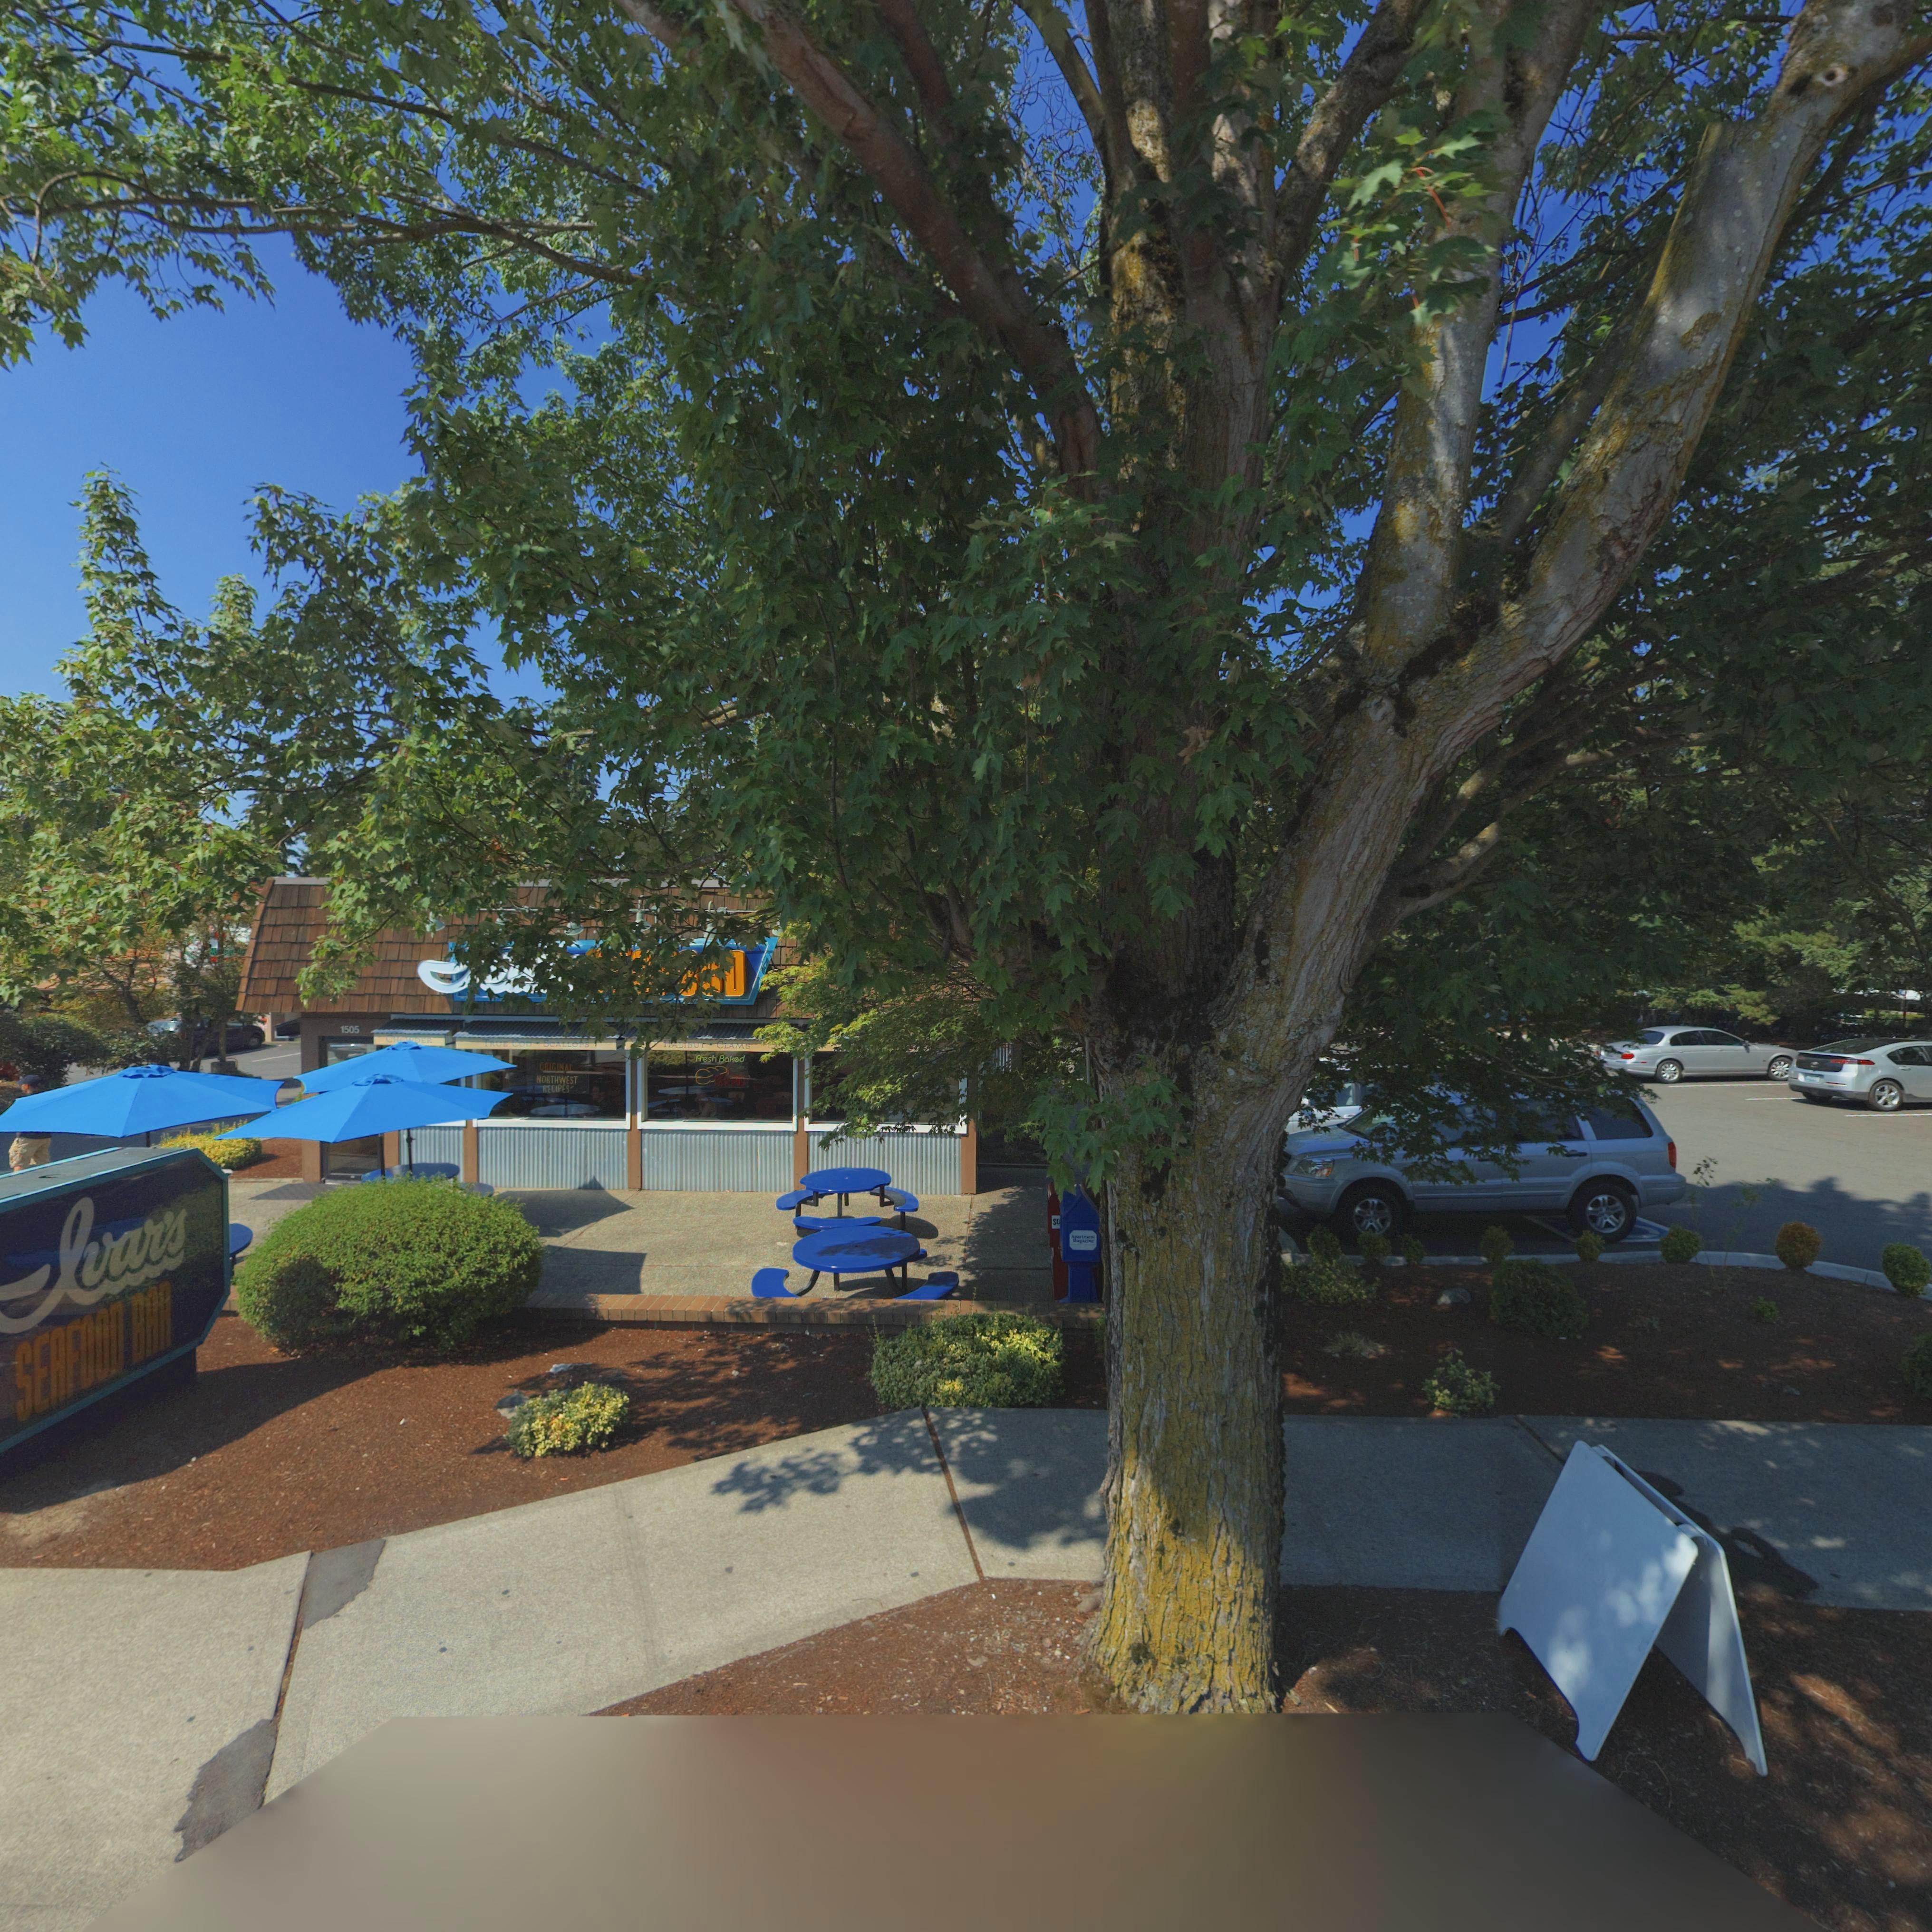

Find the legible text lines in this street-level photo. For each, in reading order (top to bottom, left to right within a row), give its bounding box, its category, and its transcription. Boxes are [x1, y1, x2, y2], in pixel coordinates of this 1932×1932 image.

[340, 1024, 359, 1035] StreetNumber: 1505
[482, 1038, 534, 1047] None: TRUE COD
[541, 1038, 592, 1050] None: SCALLOPS
[662, 1036, 706, 1050] None: HALIBUT
[715, 1040, 752, 1049] None: CLAMS
[694, 1053, 746, 1063] None: Fresh Baked
[538, 1058, 577, 1072] None: ORIGINAL 
[535, 1072, 581, 1084] None: NORTHWEST
[540, 1084, 573, 1093] None: RECIPES
[1071, 1237, 1096, 1243] None: Magazine
[0, 1194, 194, 1334] BusinessName: IVAR'S
[14, 1274, 175, 1430] BusinessName: SEAFOOD BAR